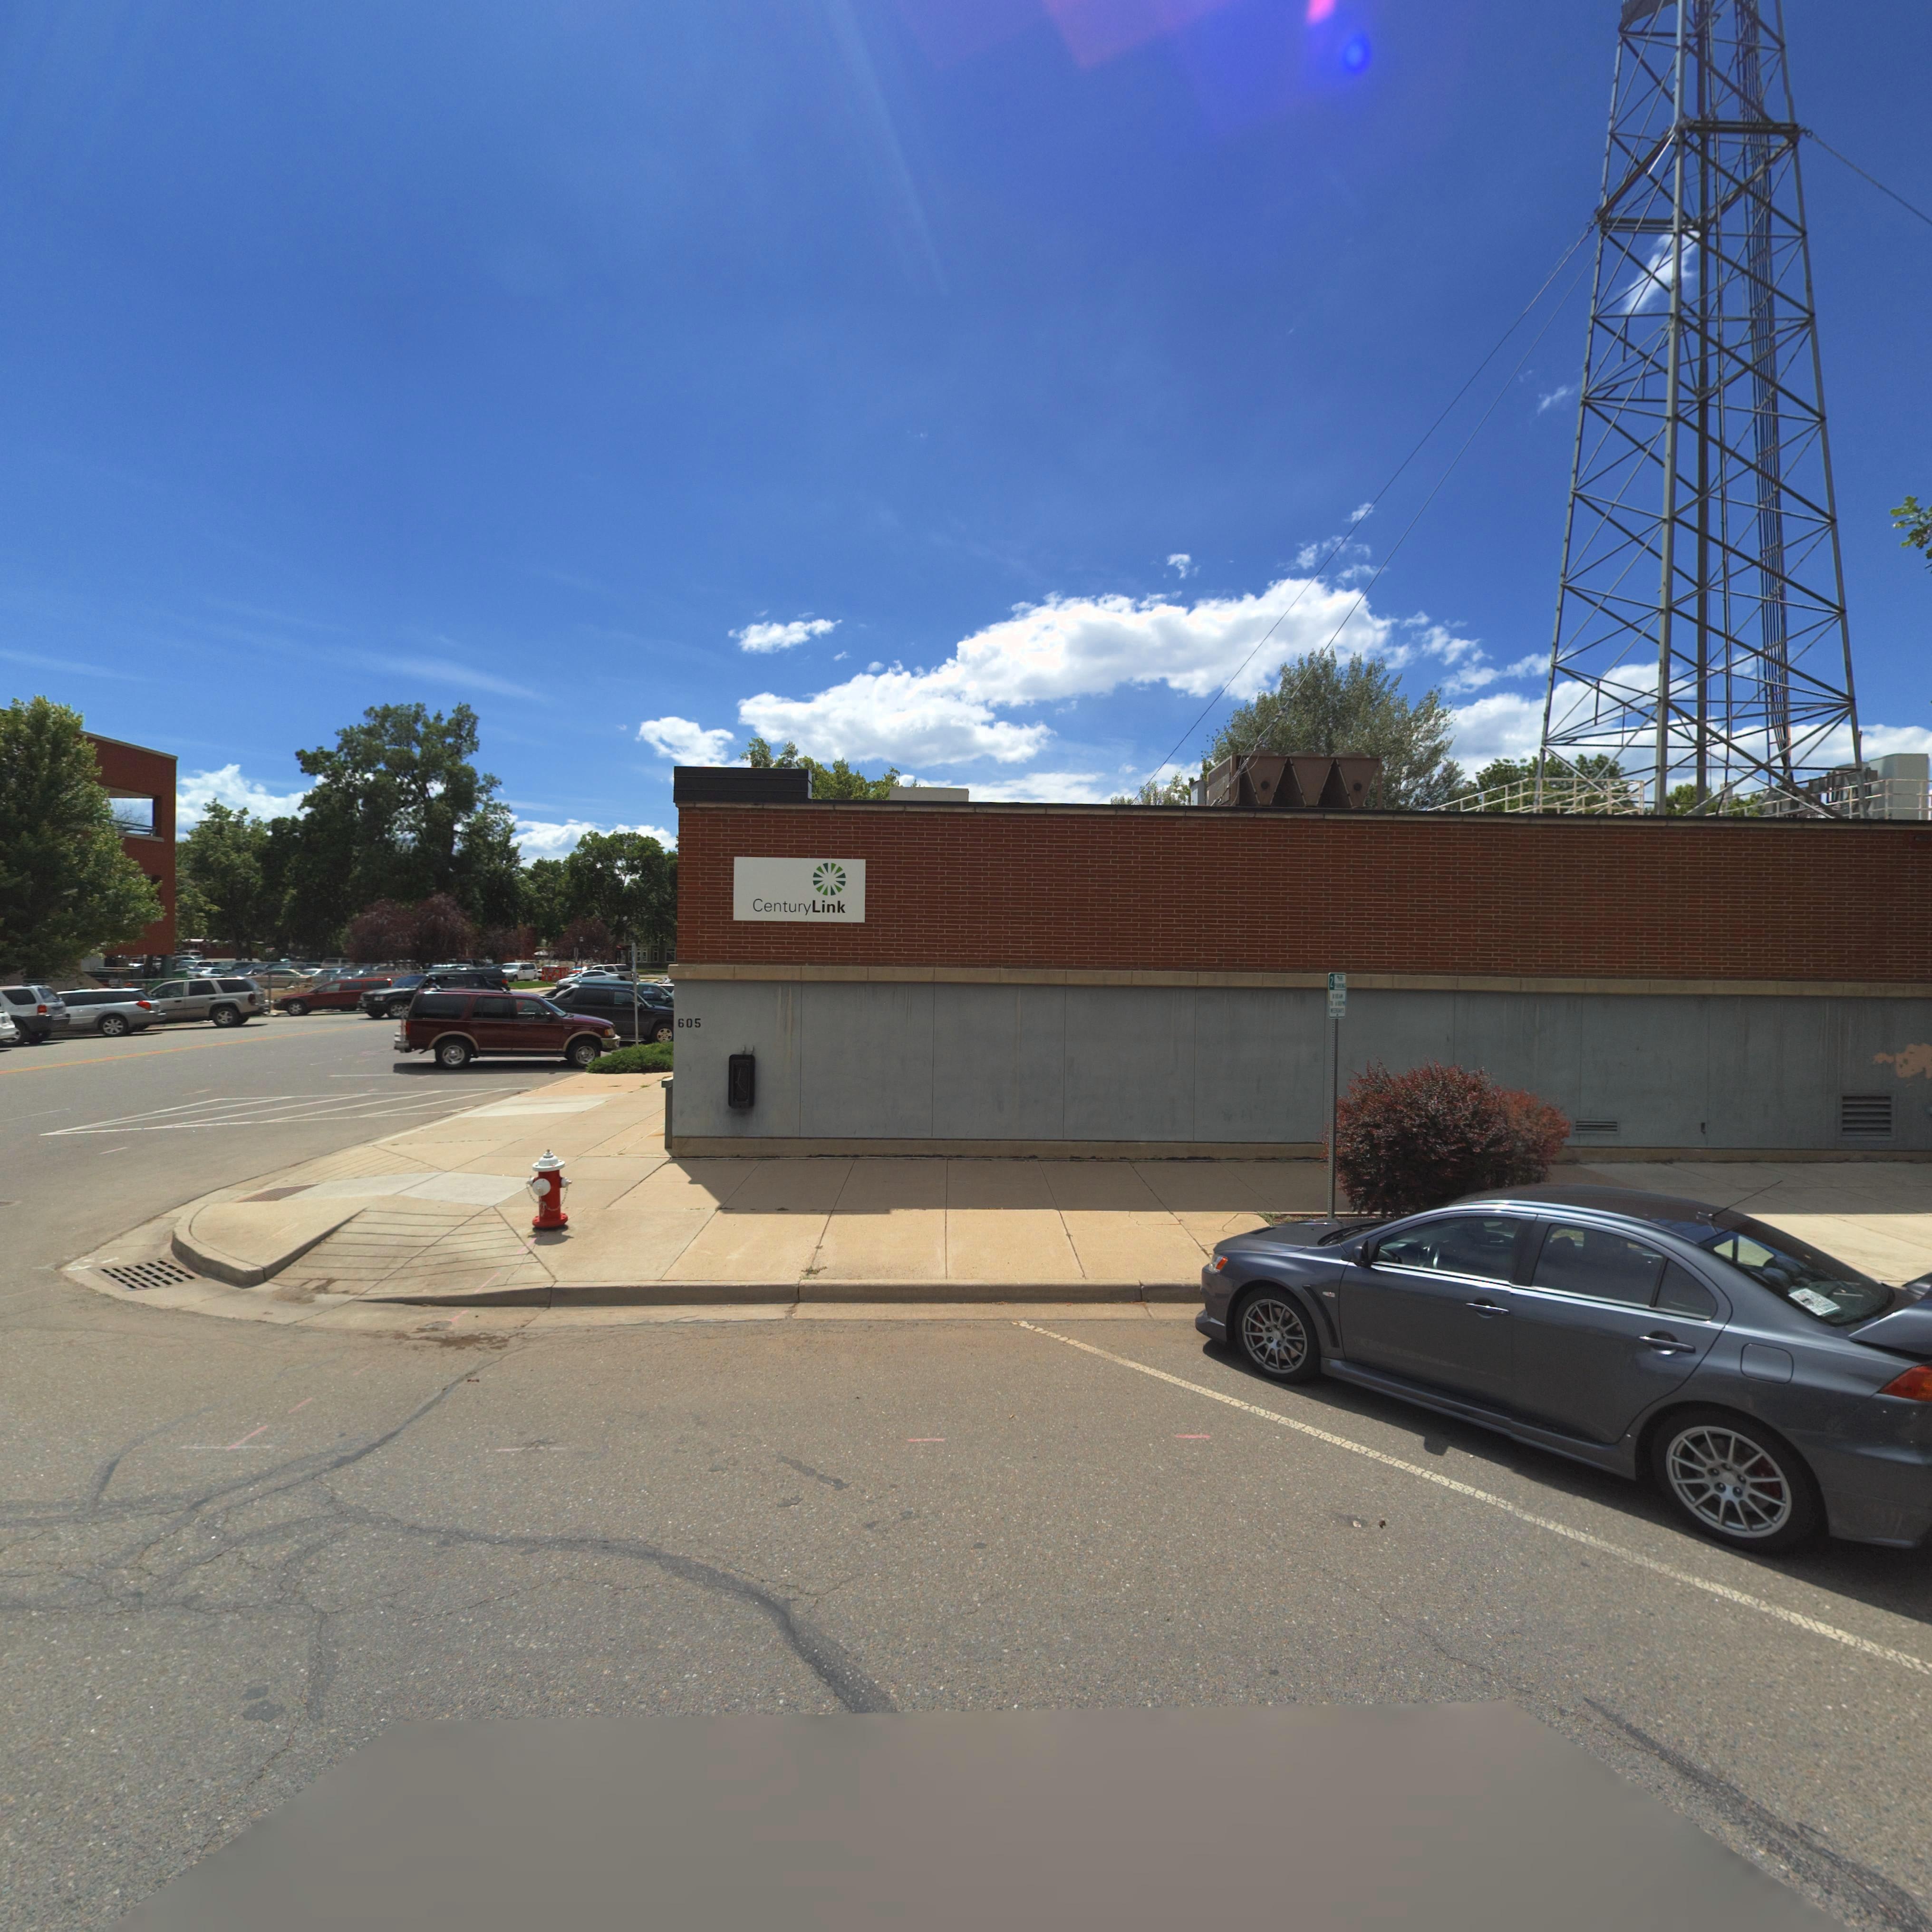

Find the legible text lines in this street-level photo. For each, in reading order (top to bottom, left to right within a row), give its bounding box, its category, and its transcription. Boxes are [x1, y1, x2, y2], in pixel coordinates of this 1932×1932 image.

[752, 898, 846, 916] BusinessName: CenturyLink
[678, 1018, 702, 1028] StreetNumber: 605